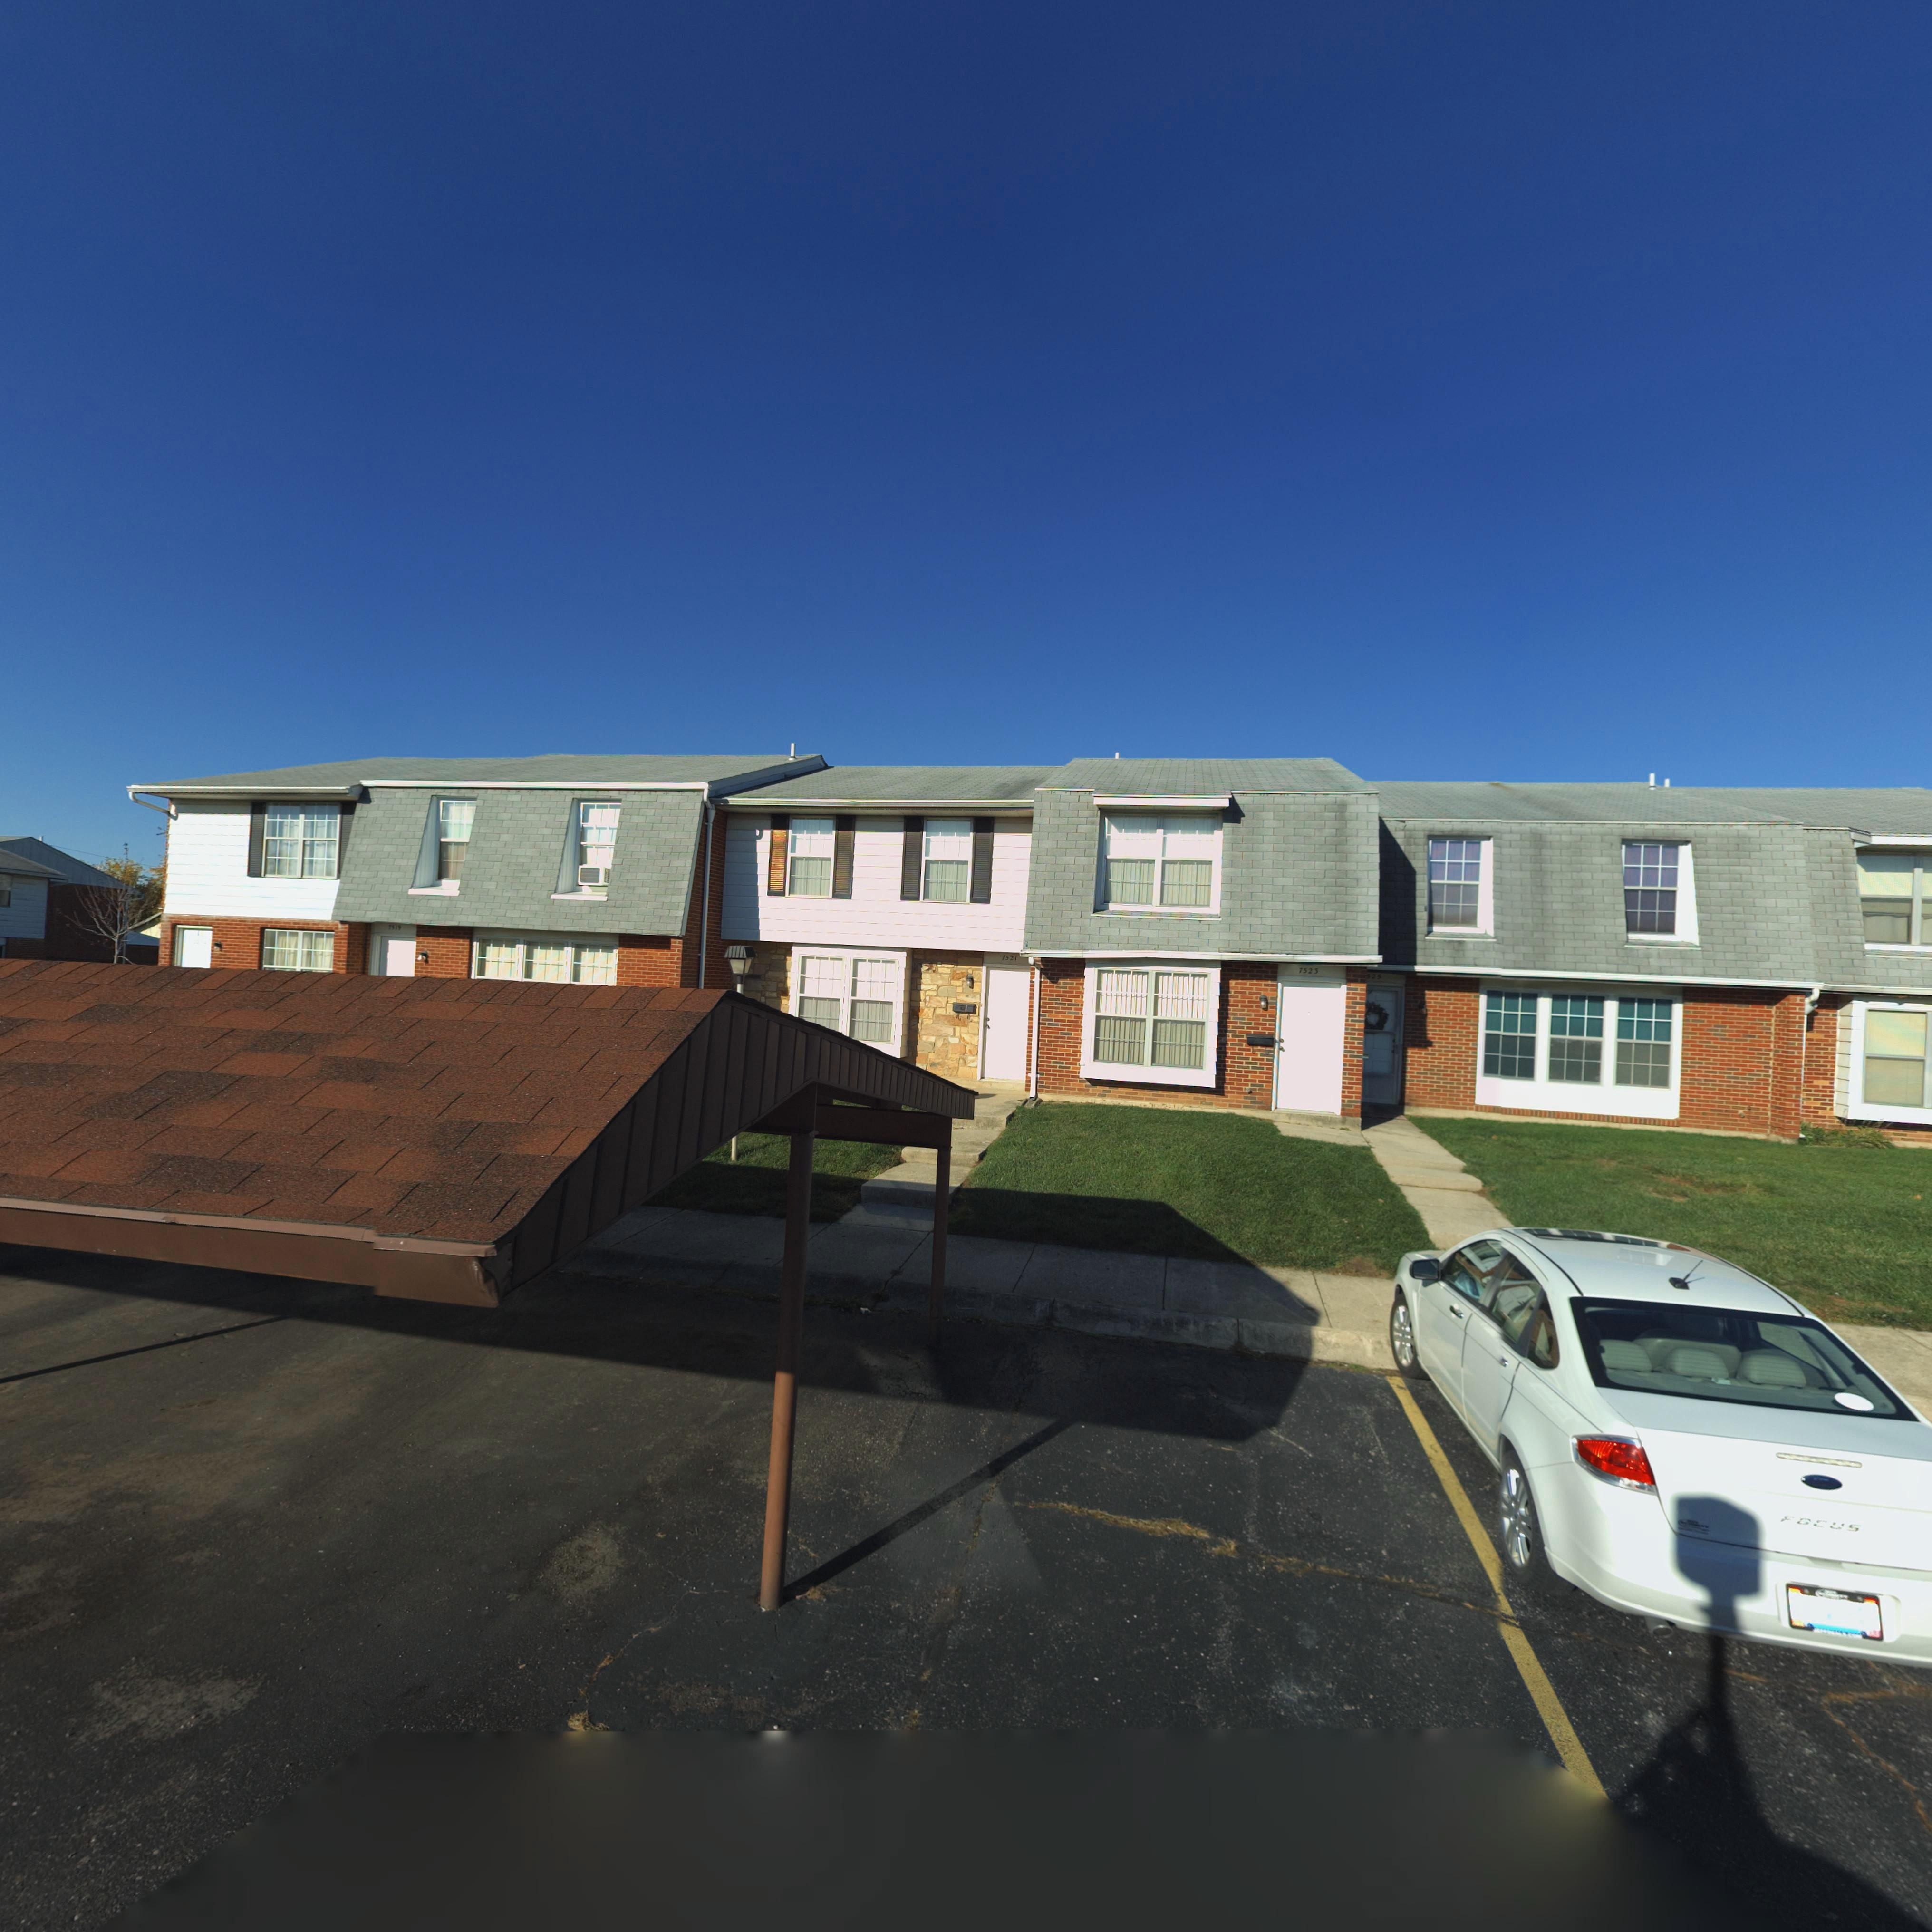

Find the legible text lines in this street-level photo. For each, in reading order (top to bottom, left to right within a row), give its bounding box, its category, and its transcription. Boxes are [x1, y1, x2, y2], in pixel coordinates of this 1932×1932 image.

[388, 924, 402, 931] StreetNumber: 7519
[1002, 955, 1017, 961] StreetNumber: 7521
[1299, 967, 1319, 975] StreetNumber: 7523
[1366, 973, 1382, 980] StreetNumber: 525